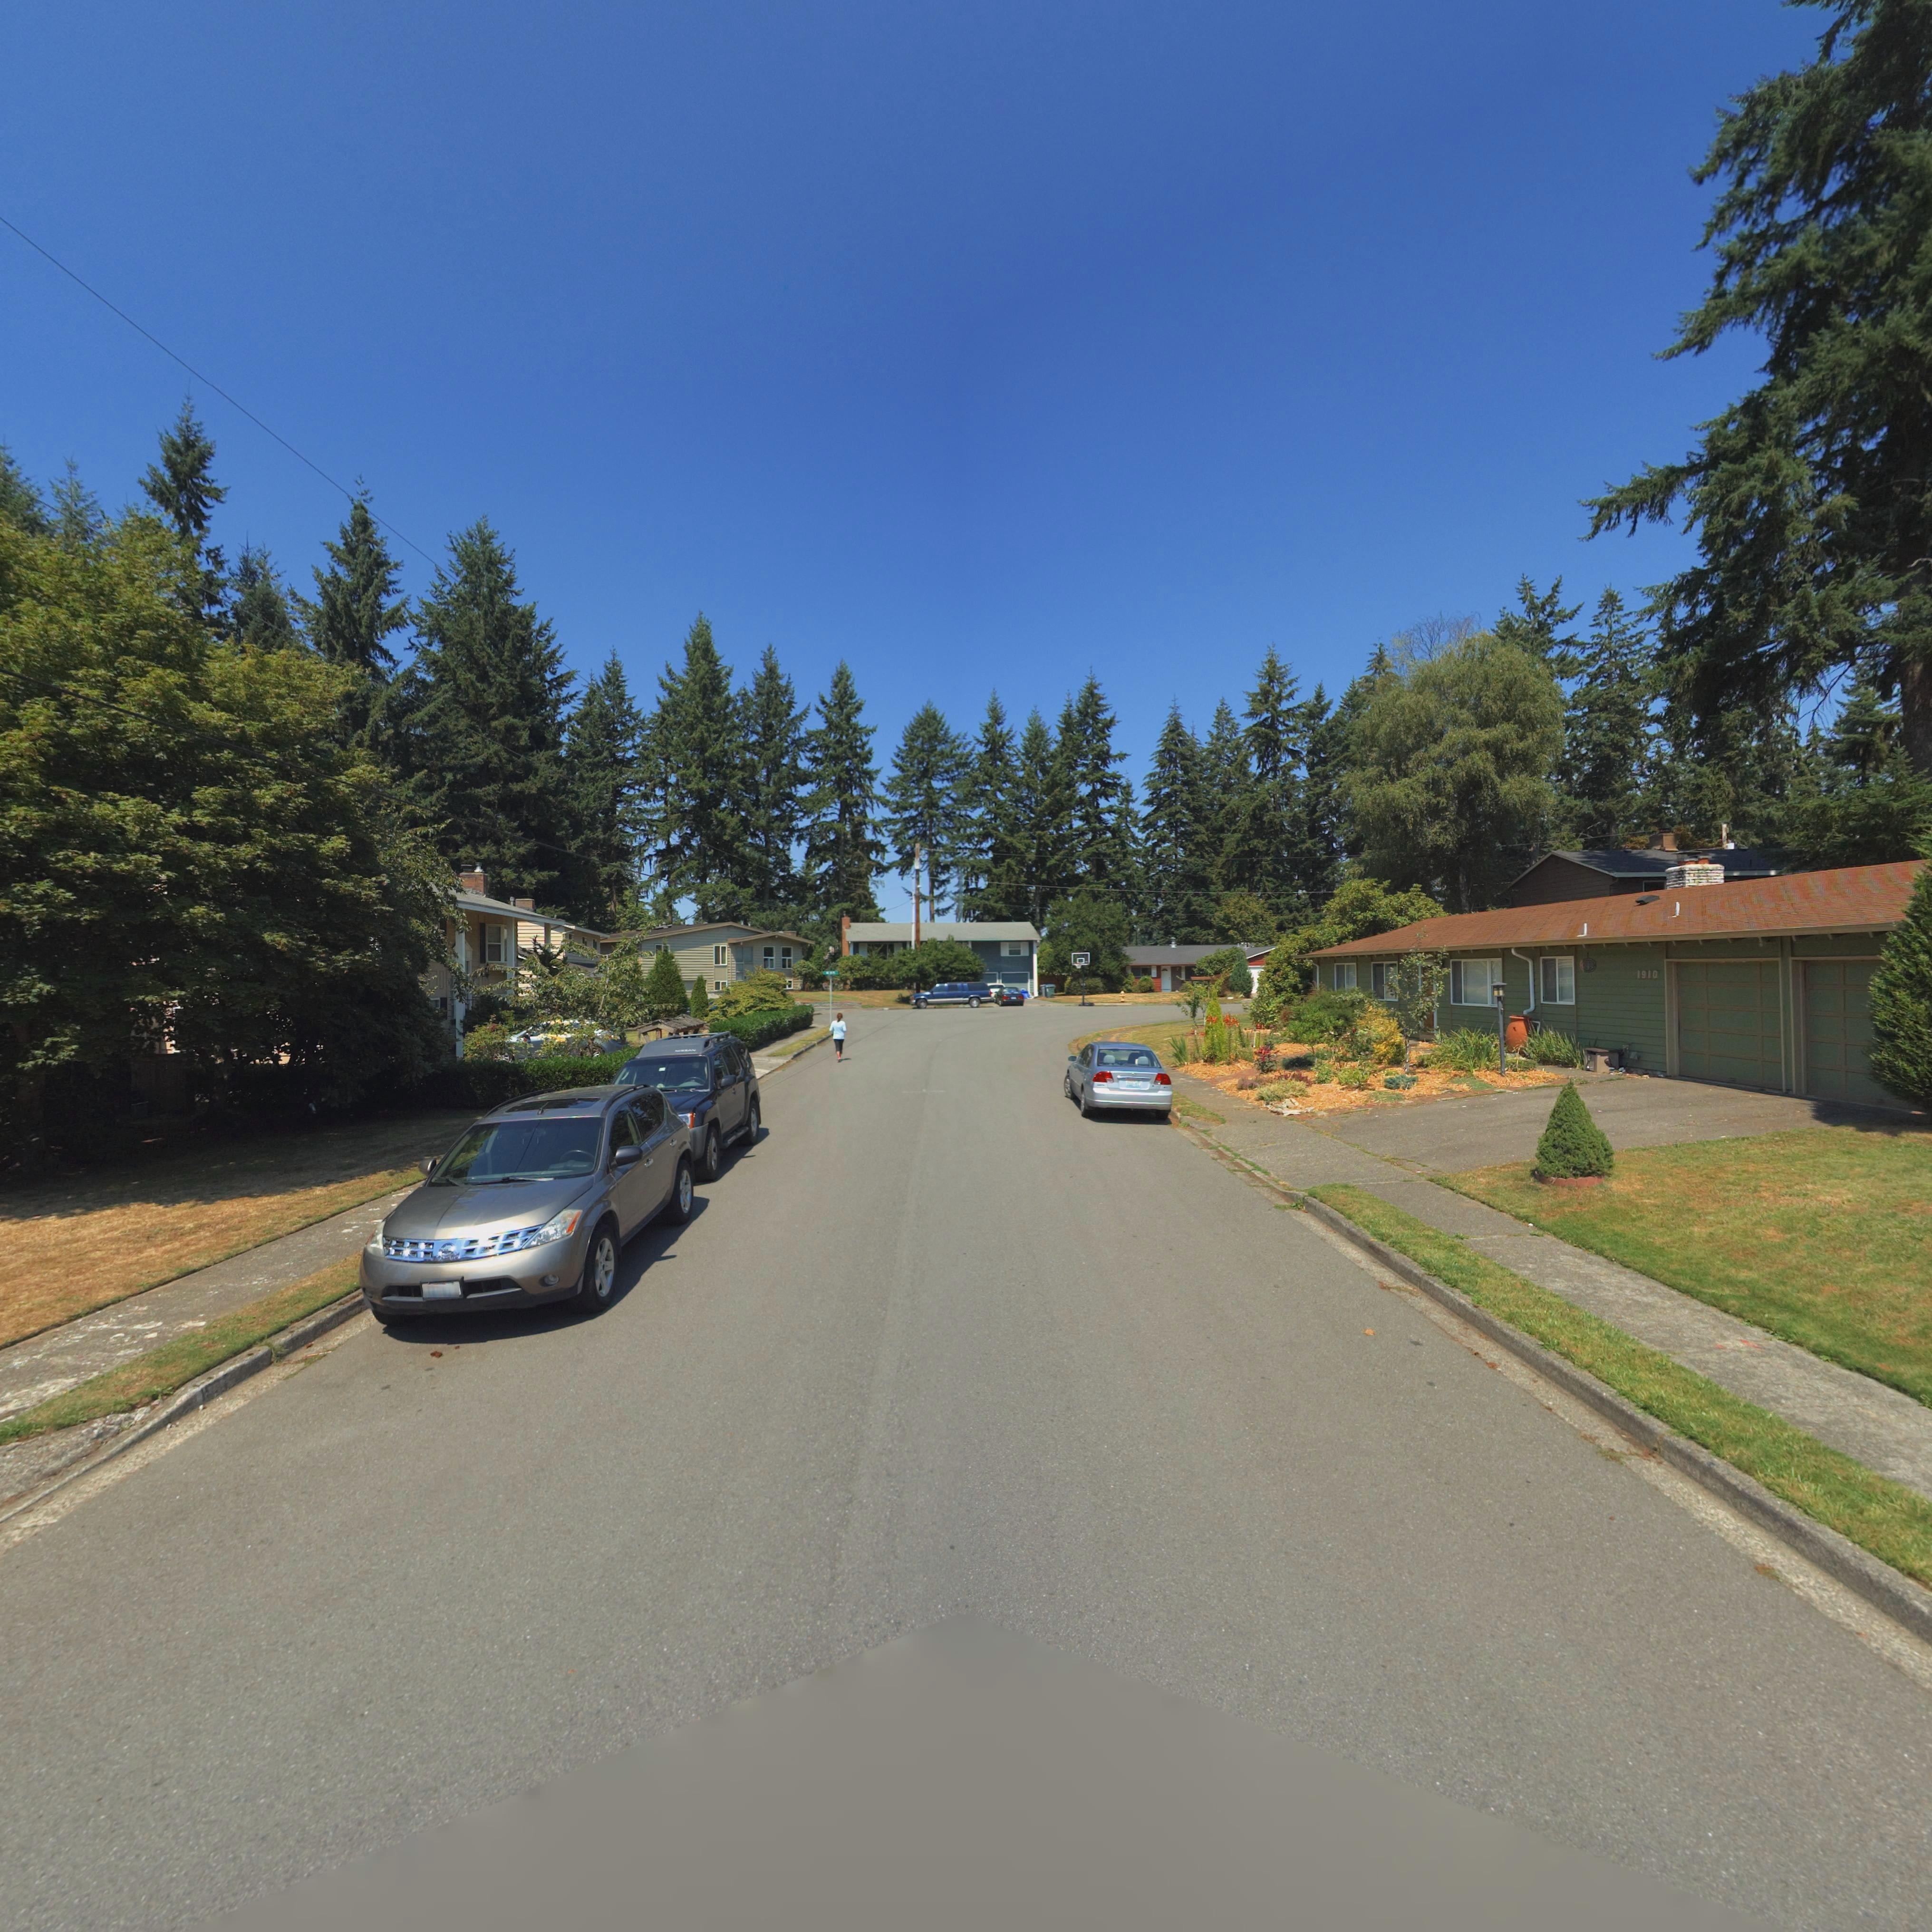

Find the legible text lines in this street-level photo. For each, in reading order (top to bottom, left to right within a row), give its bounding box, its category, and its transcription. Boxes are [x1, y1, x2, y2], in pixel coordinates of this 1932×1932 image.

[1636, 970, 1658, 978] StreetNumber: 1910